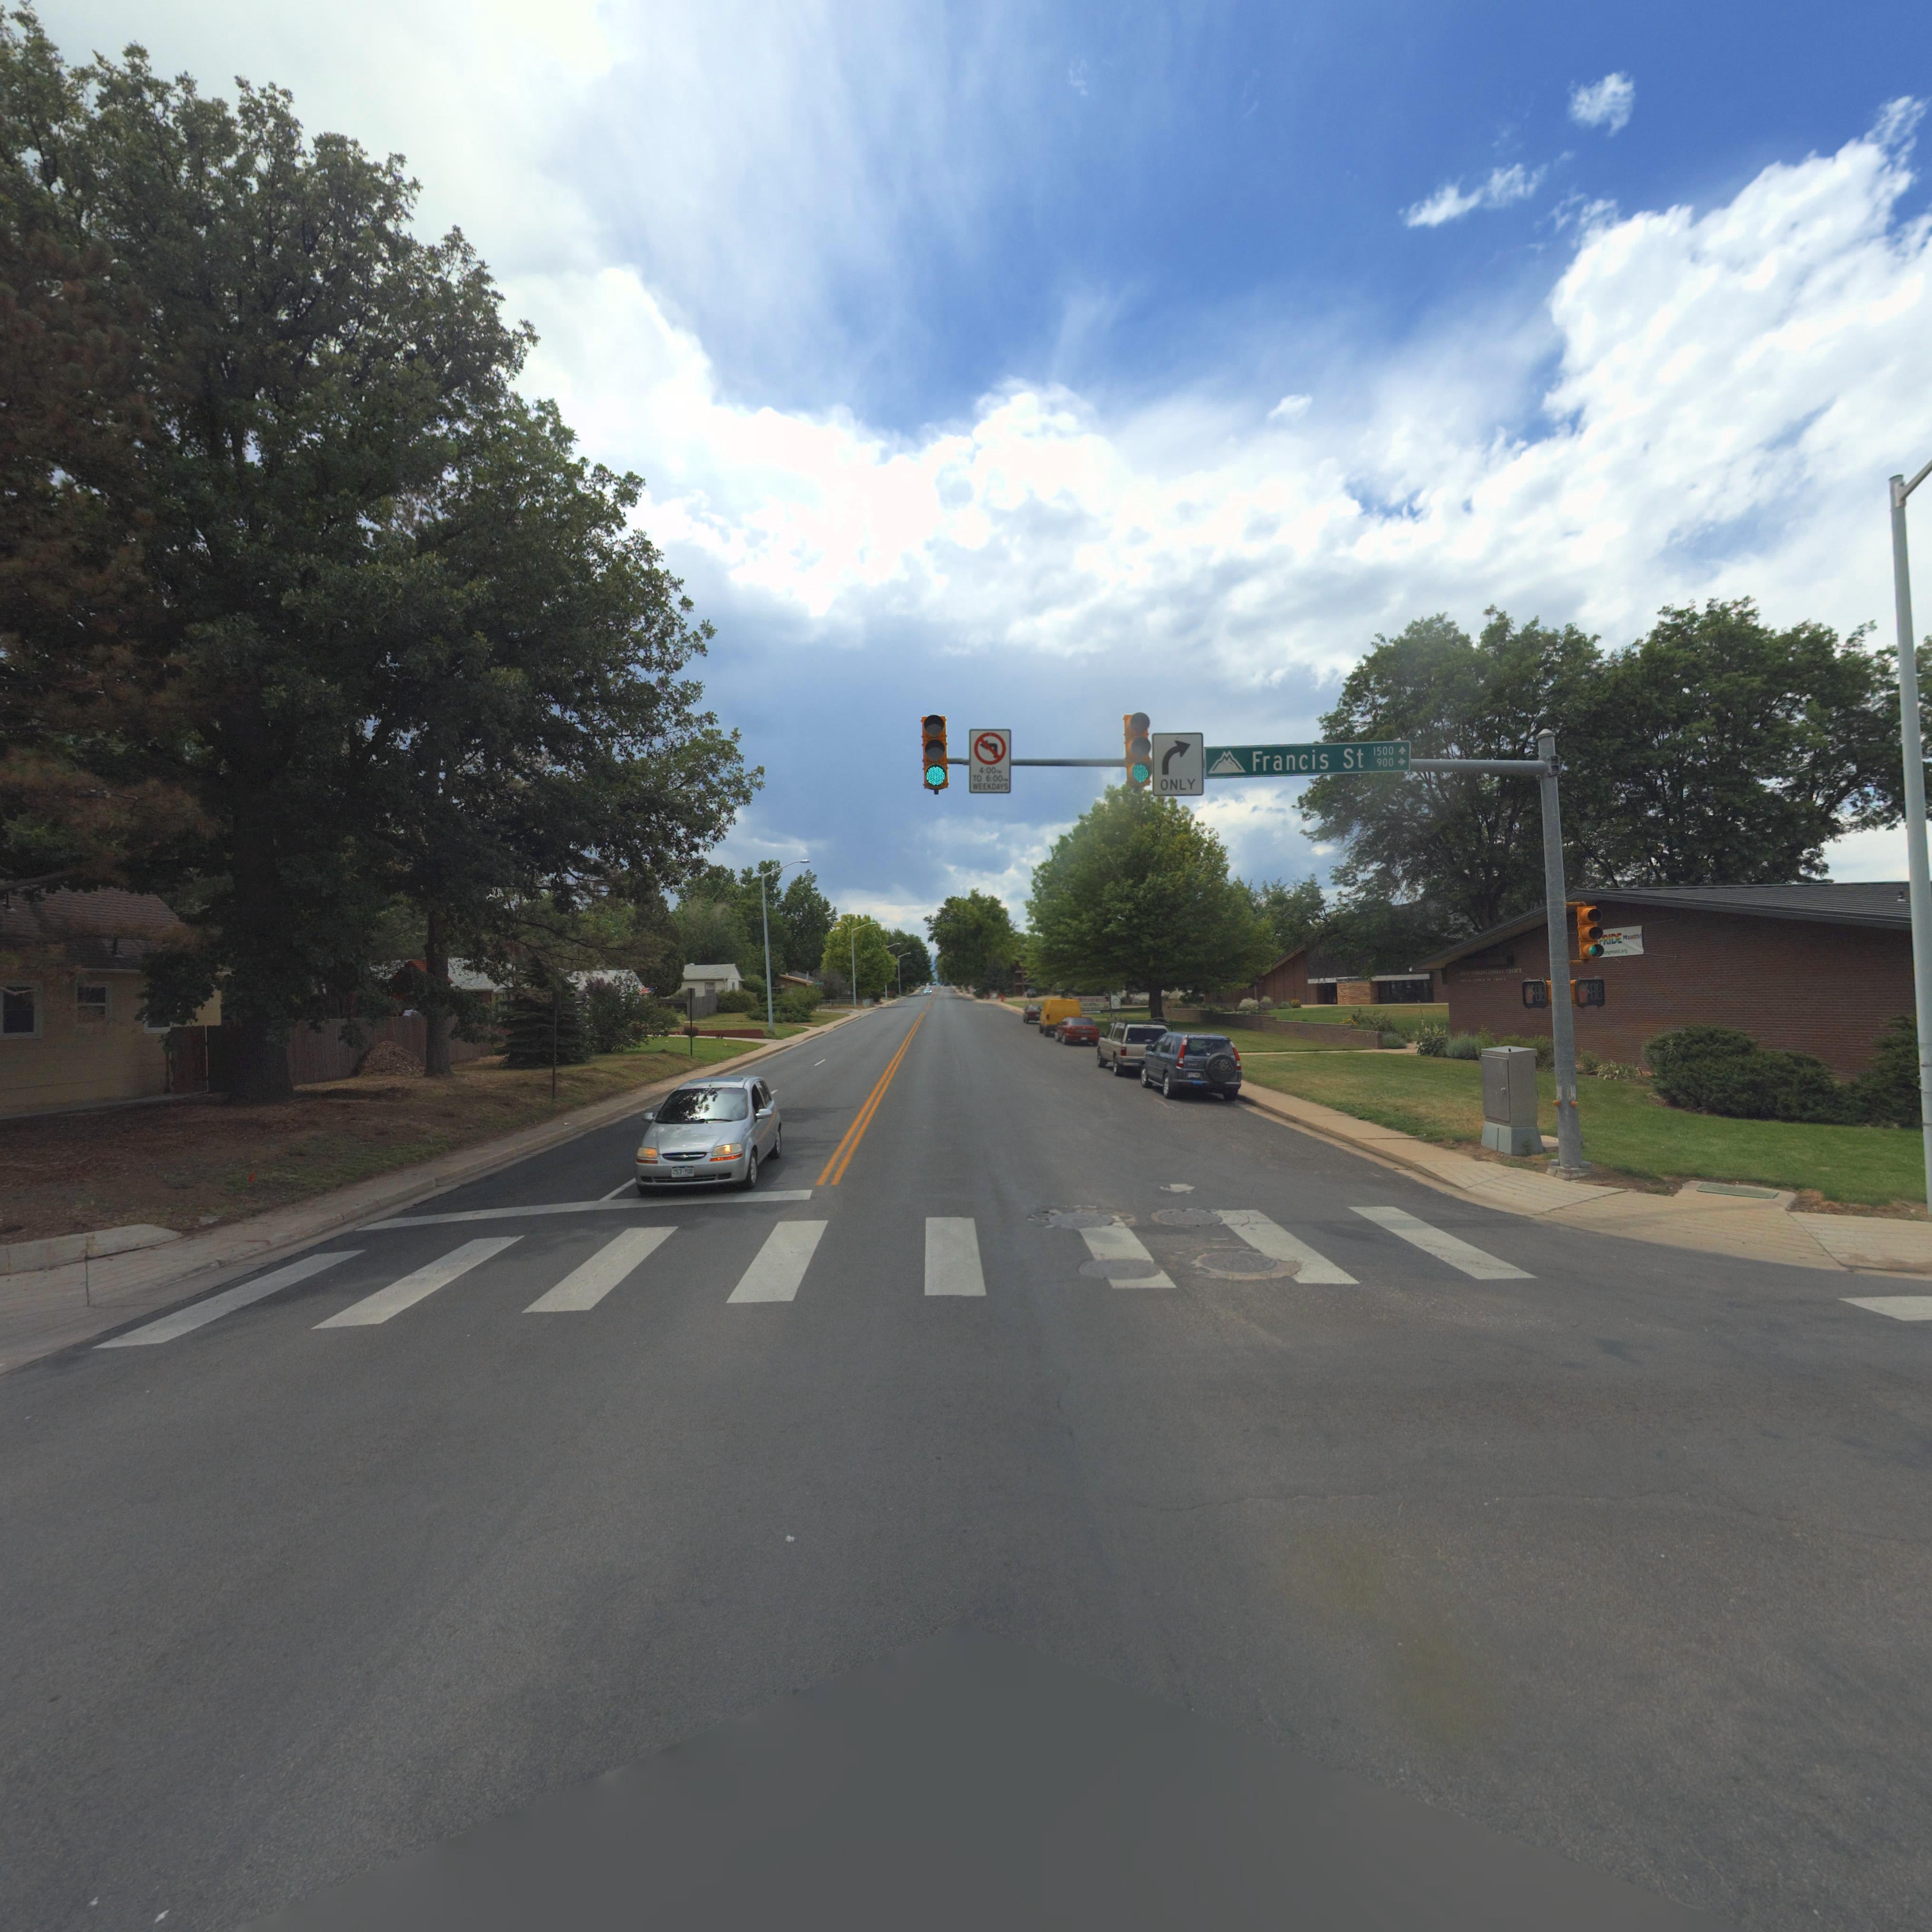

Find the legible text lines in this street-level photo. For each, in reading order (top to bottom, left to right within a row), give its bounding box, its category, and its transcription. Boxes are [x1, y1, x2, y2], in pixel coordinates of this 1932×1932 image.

[1373, 746, 1393, 755] StreetNumberRange: 1500
[1252, 747, 1364, 772] StreetName: Francis St
[1376, 757, 1406, 767] StreetNumberRange: 900 ->
[1459, 967, 1522, 976] BusinessName: ***** ************** C*URC*